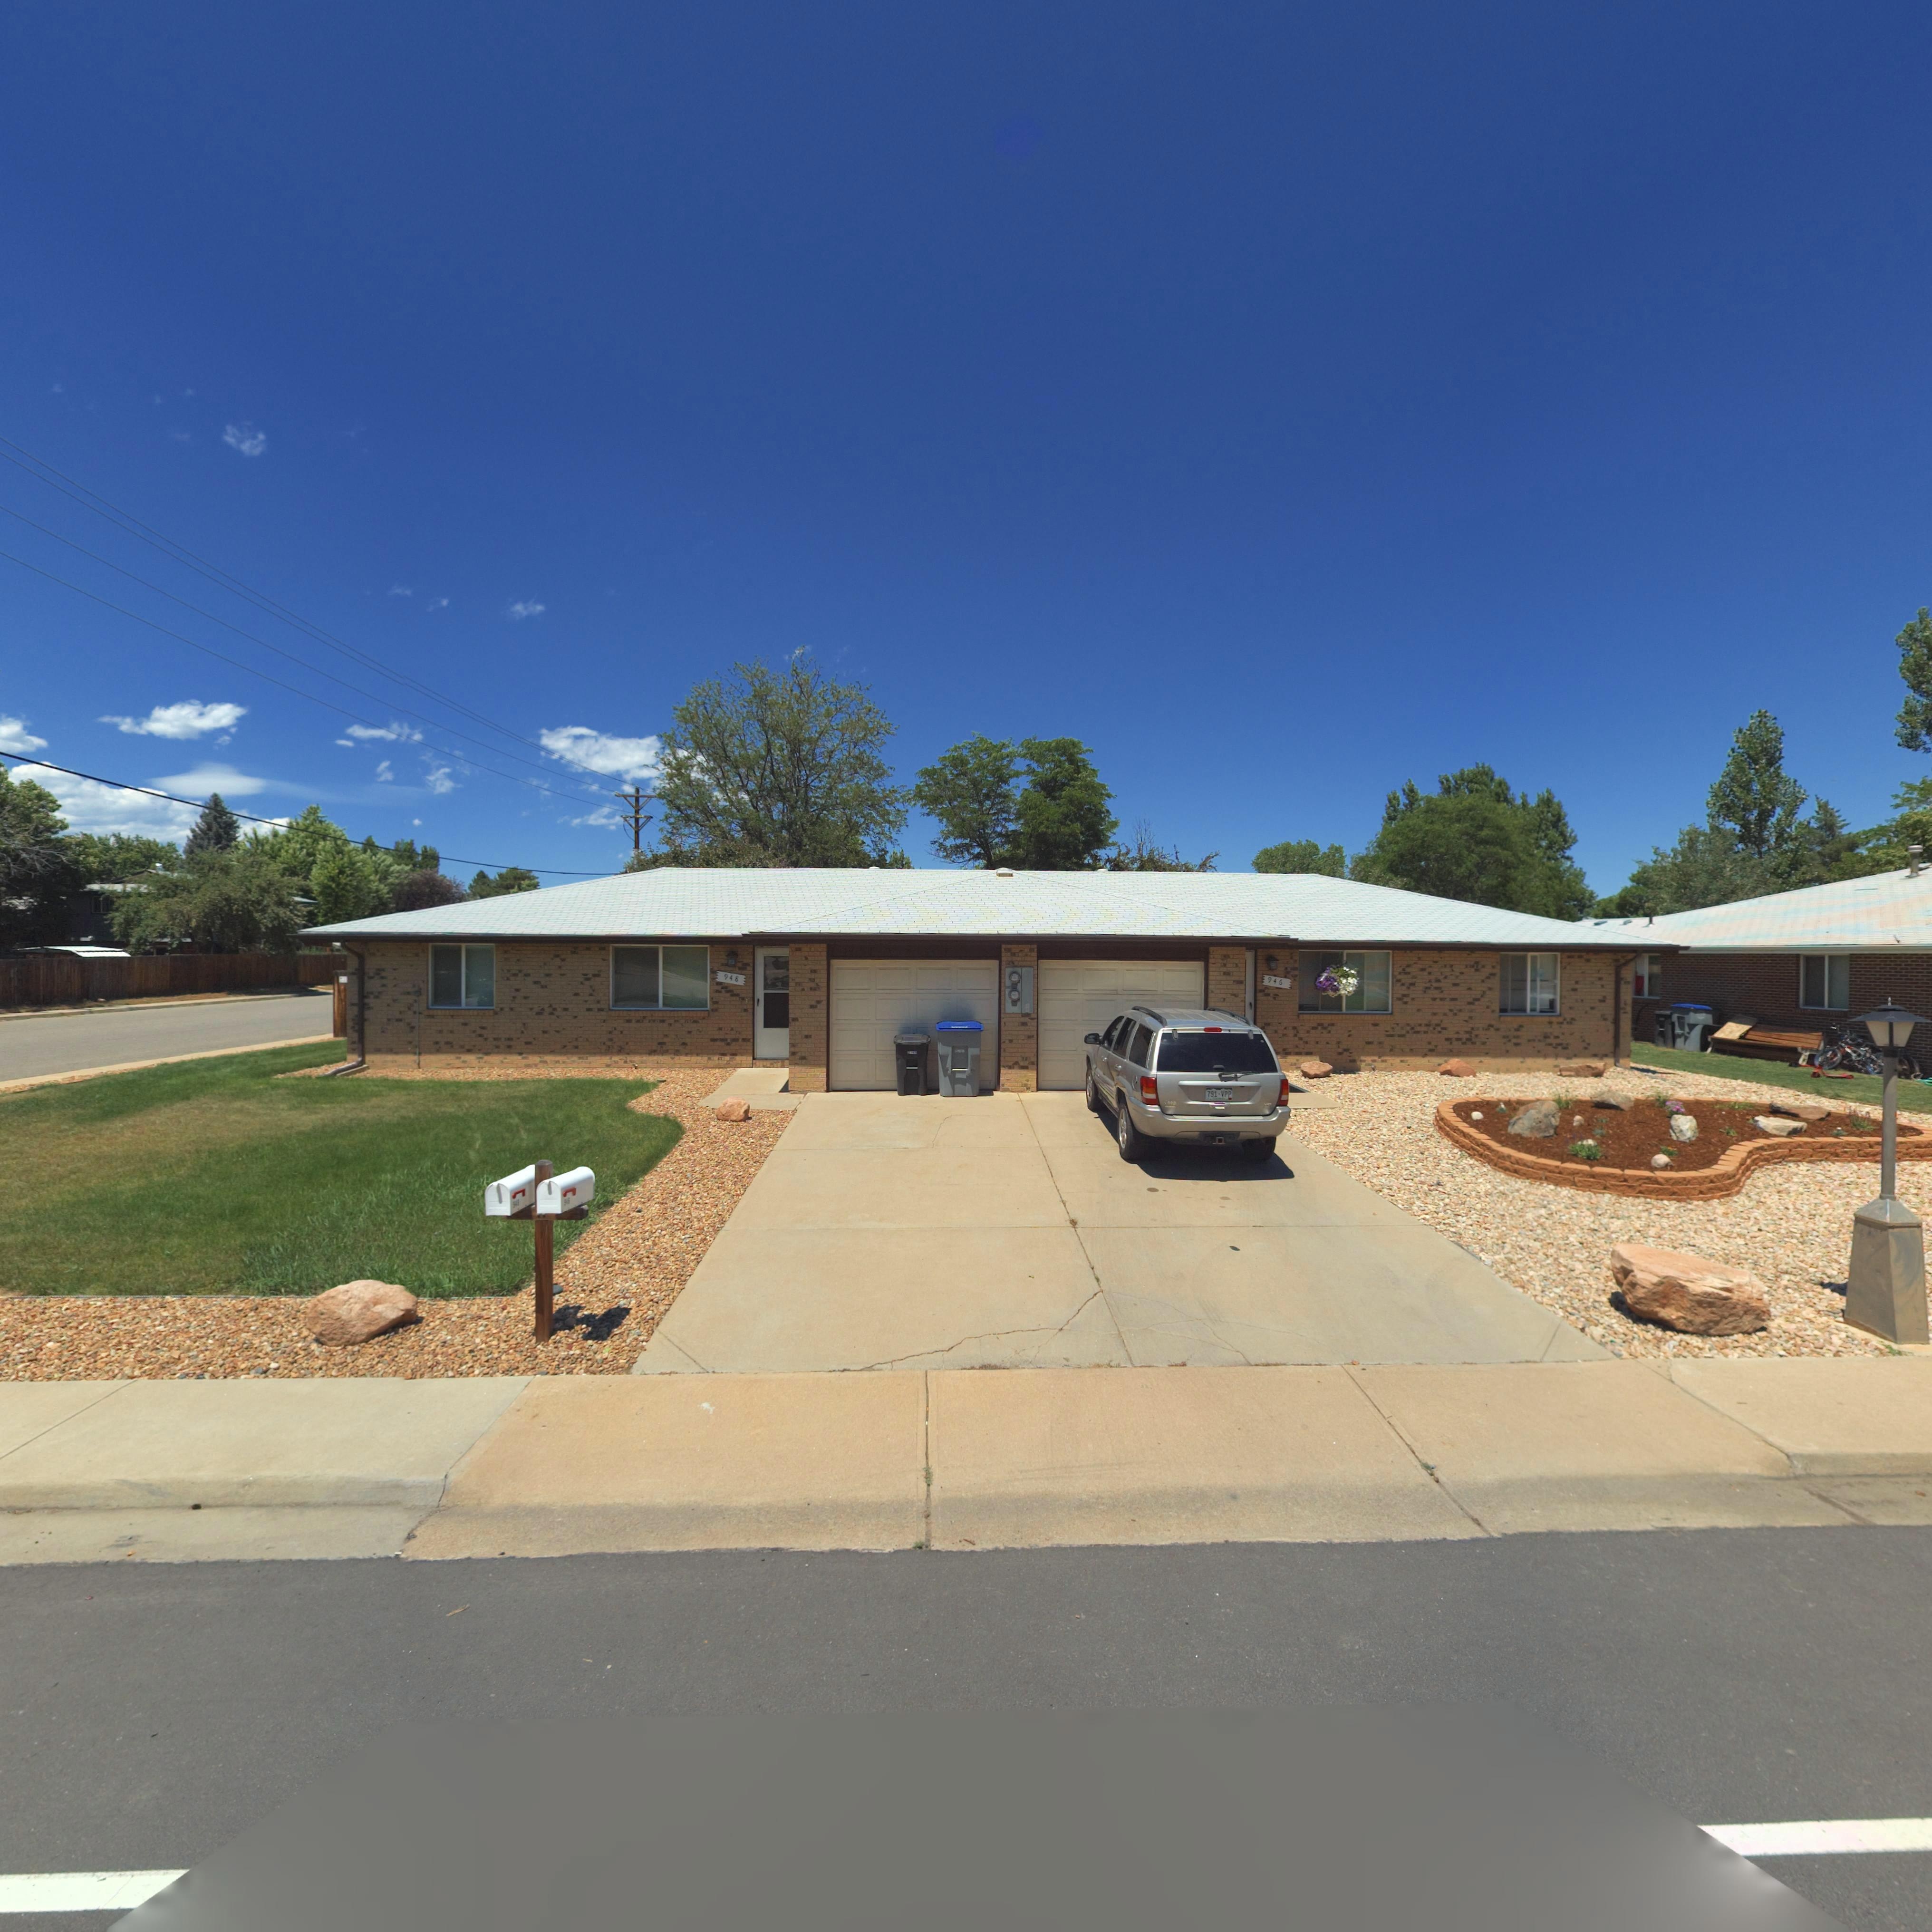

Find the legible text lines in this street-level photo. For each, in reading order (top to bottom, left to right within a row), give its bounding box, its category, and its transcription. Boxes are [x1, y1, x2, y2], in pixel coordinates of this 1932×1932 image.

[724, 974, 738, 982] StreetNumber: 948
[1267, 976, 1283, 985] StreetNumber: 946
[512, 1198, 519, 1208] StreetNumber: 94*
[563, 1197, 570, 1206] StreetNumber: 94*